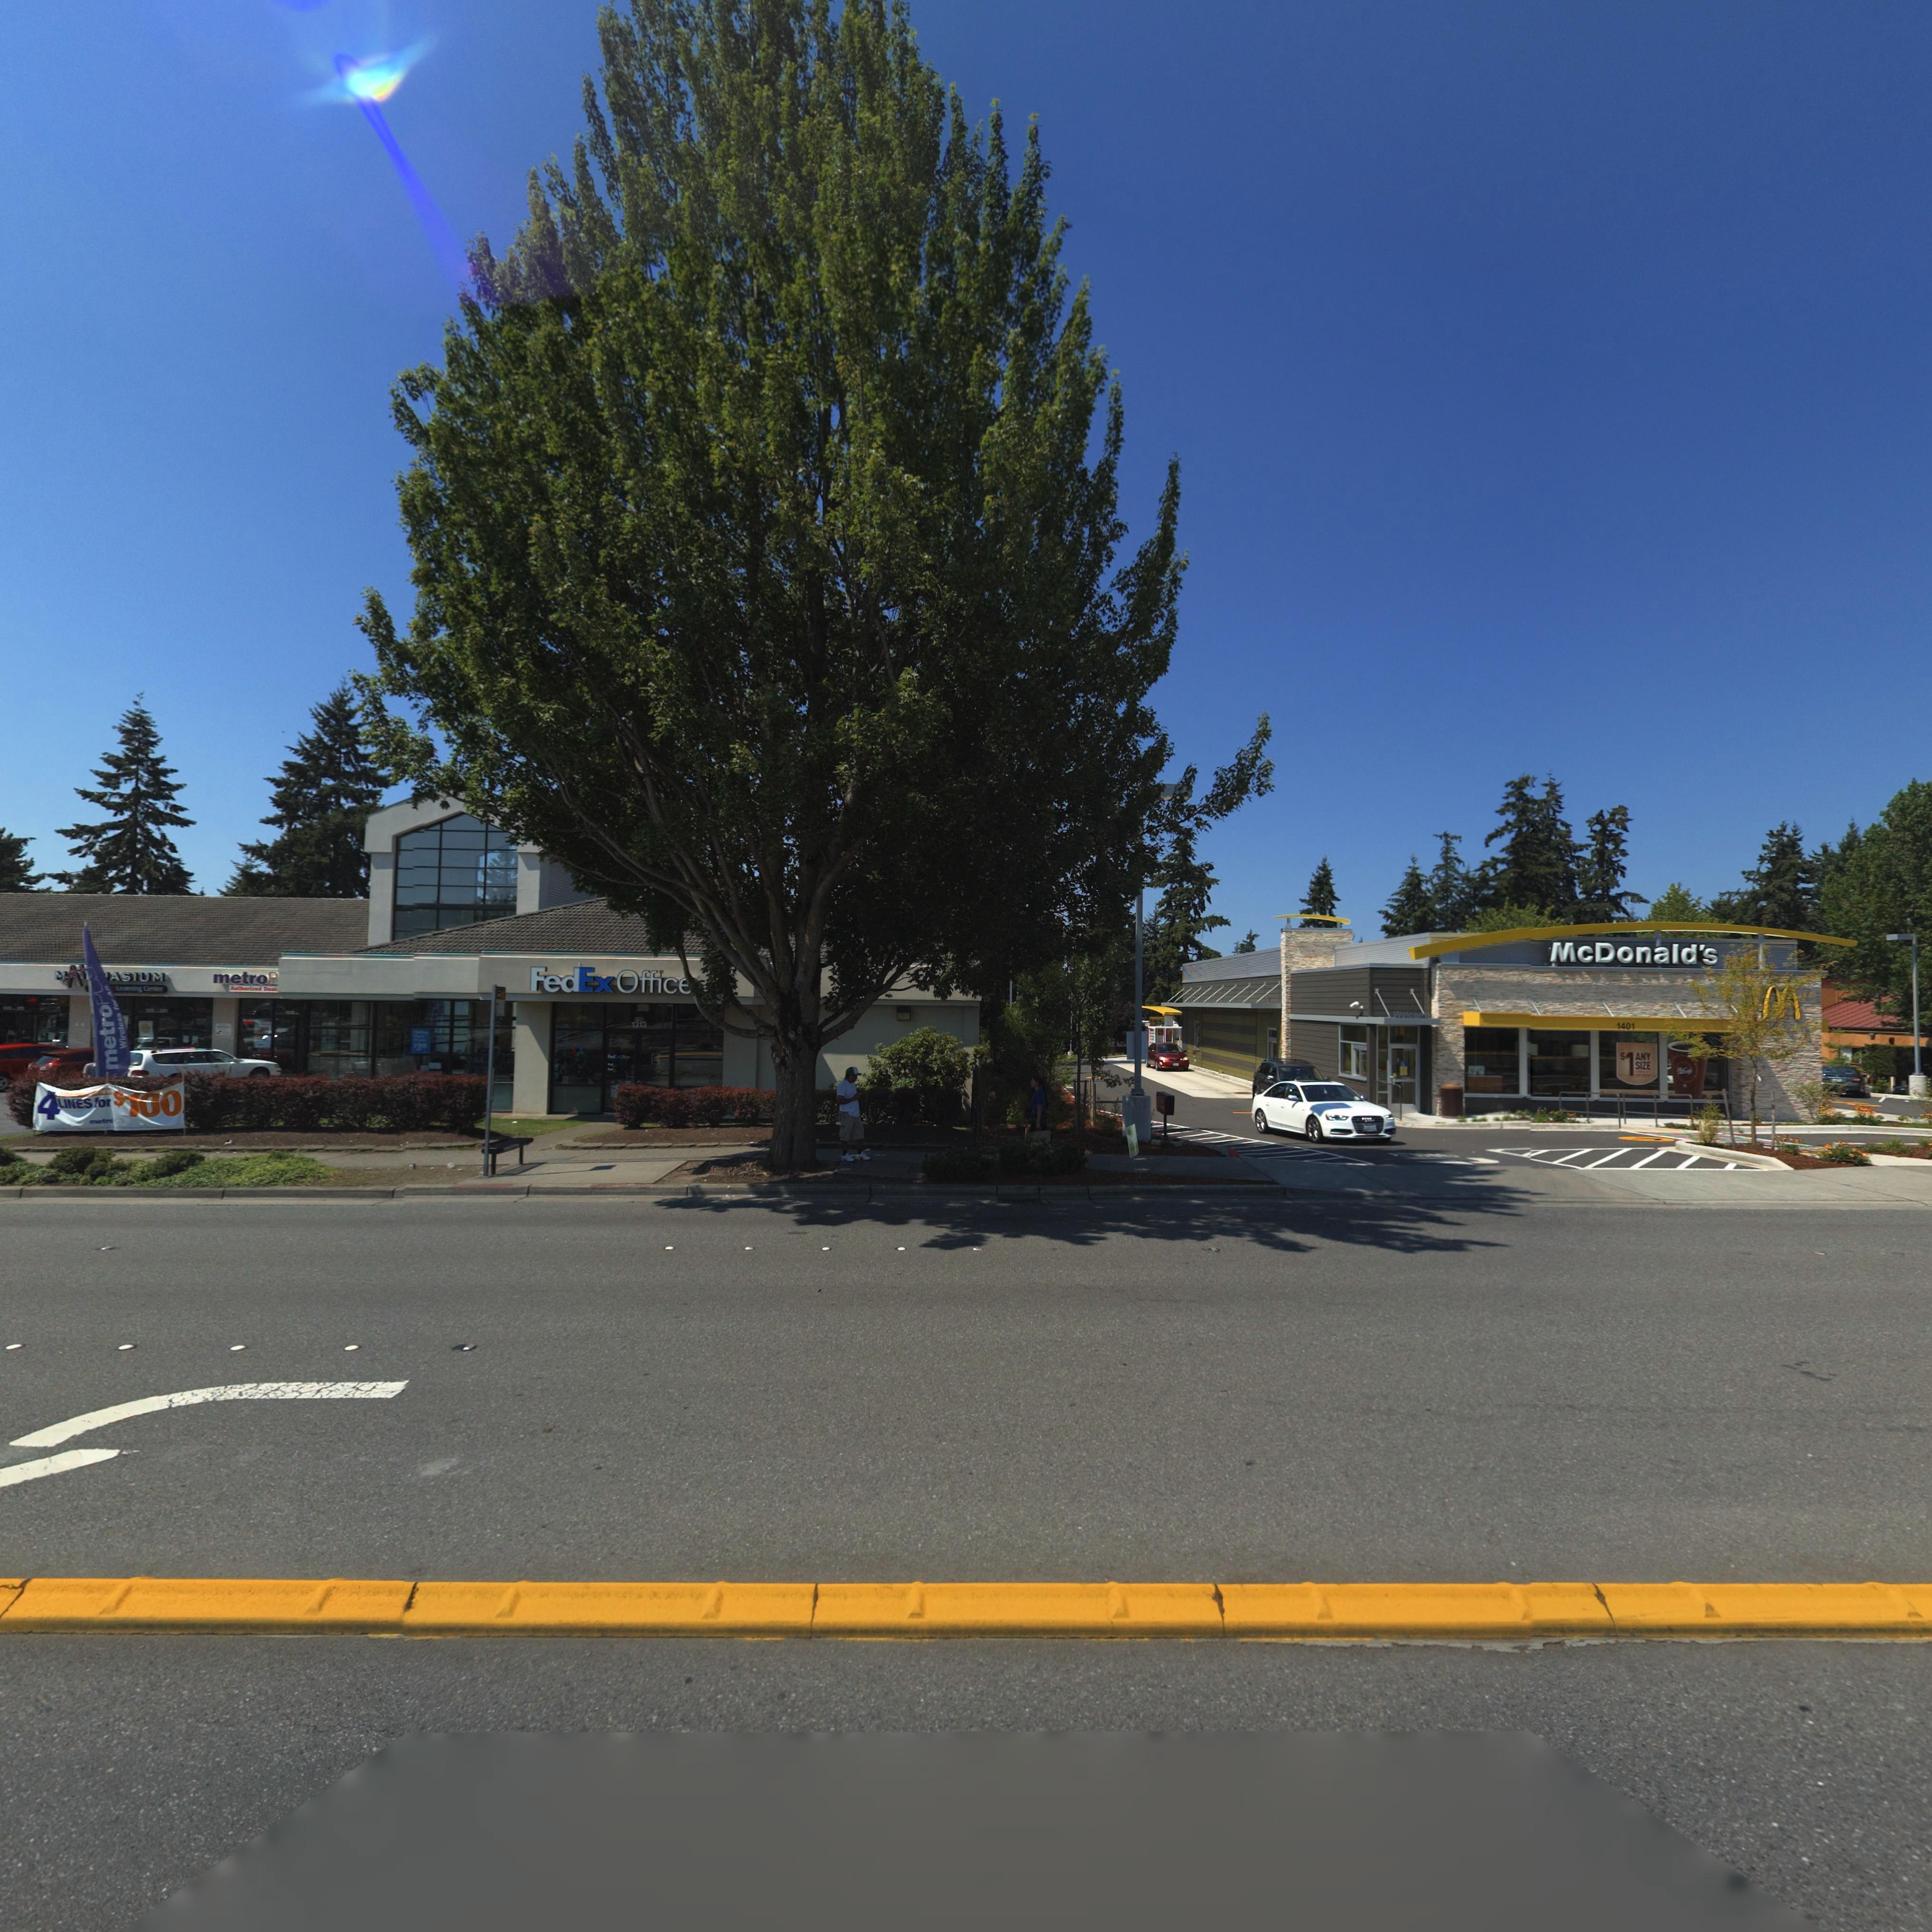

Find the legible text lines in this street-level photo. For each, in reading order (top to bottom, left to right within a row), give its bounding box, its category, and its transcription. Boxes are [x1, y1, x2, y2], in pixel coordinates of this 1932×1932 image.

[1550, 942, 1719, 965] BusinessName: McDonald's
[54, 964, 164, 988] BusinessName: M**ASIUM
[213, 970, 278, 986] BusinessName: metroP
[530, 965, 692, 995] BusinessName: FedEx Offic*
[97, 1003, 119, 1070] BusinessName: metro
[1616, 1022, 1635, 1030] StreetNumber: 1401